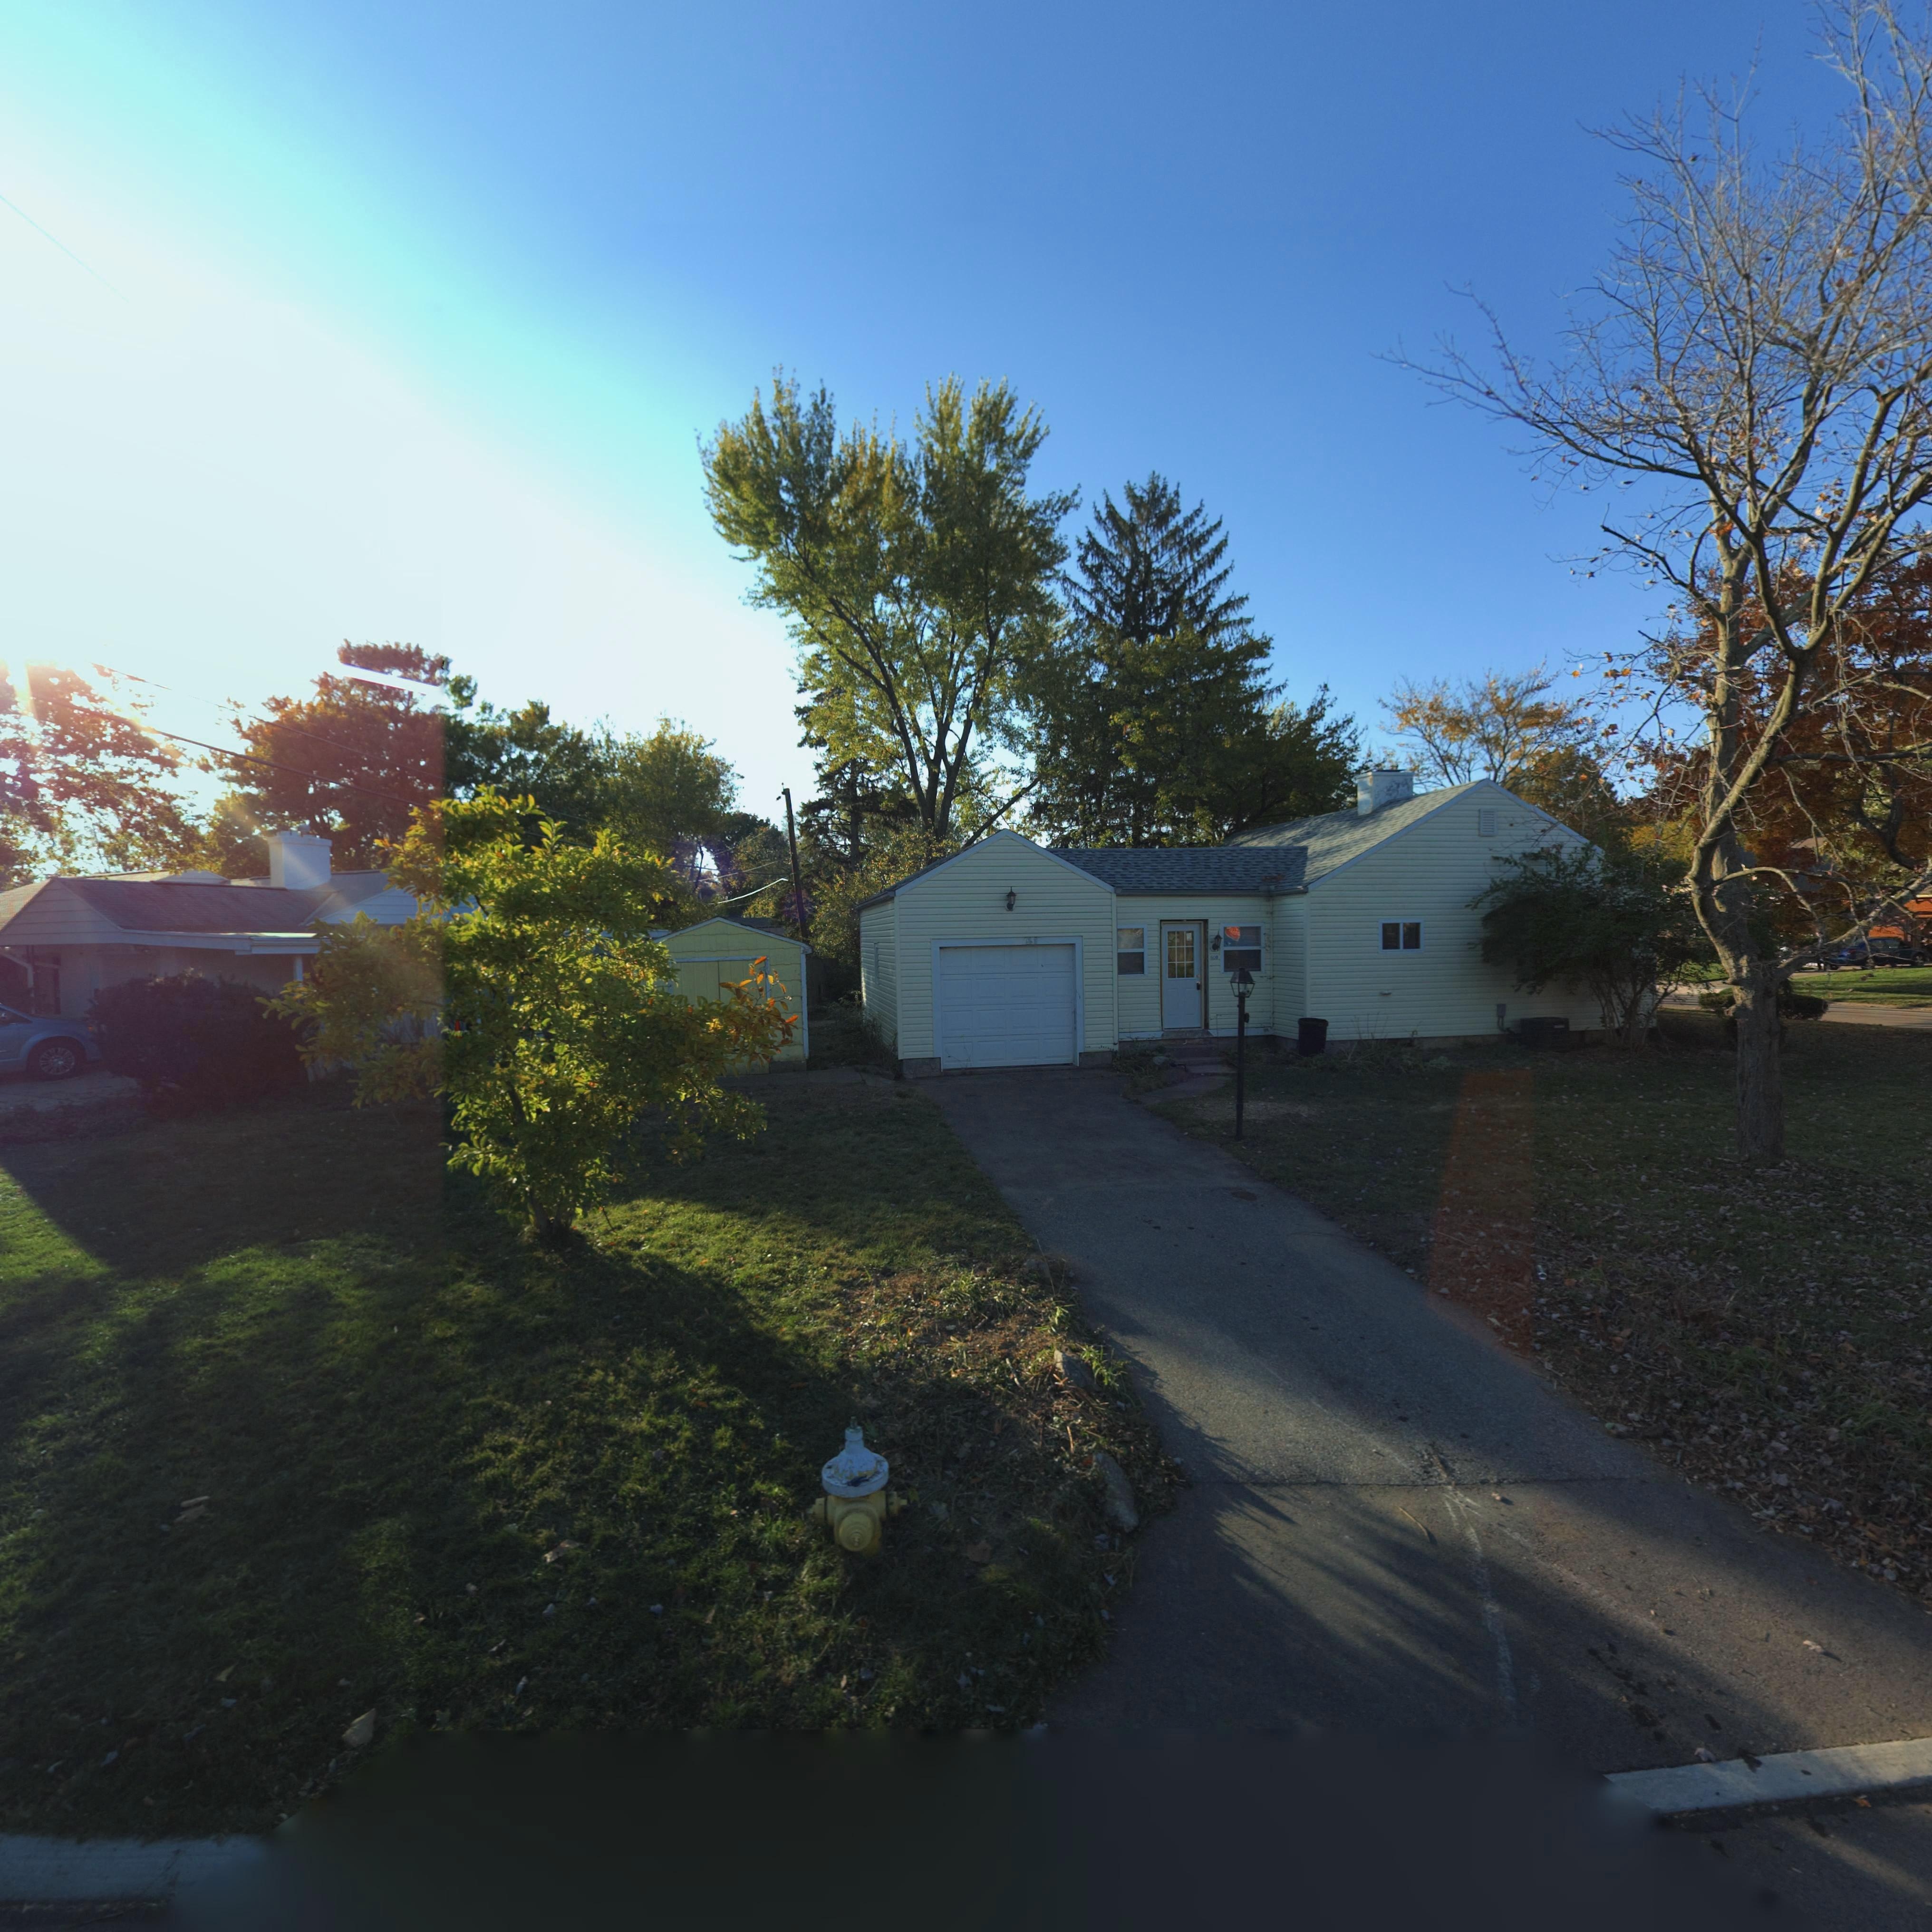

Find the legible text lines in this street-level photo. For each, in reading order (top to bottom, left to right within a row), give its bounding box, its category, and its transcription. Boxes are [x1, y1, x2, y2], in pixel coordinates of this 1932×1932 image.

[1209, 955, 1218, 961] StreetNumber: 60*